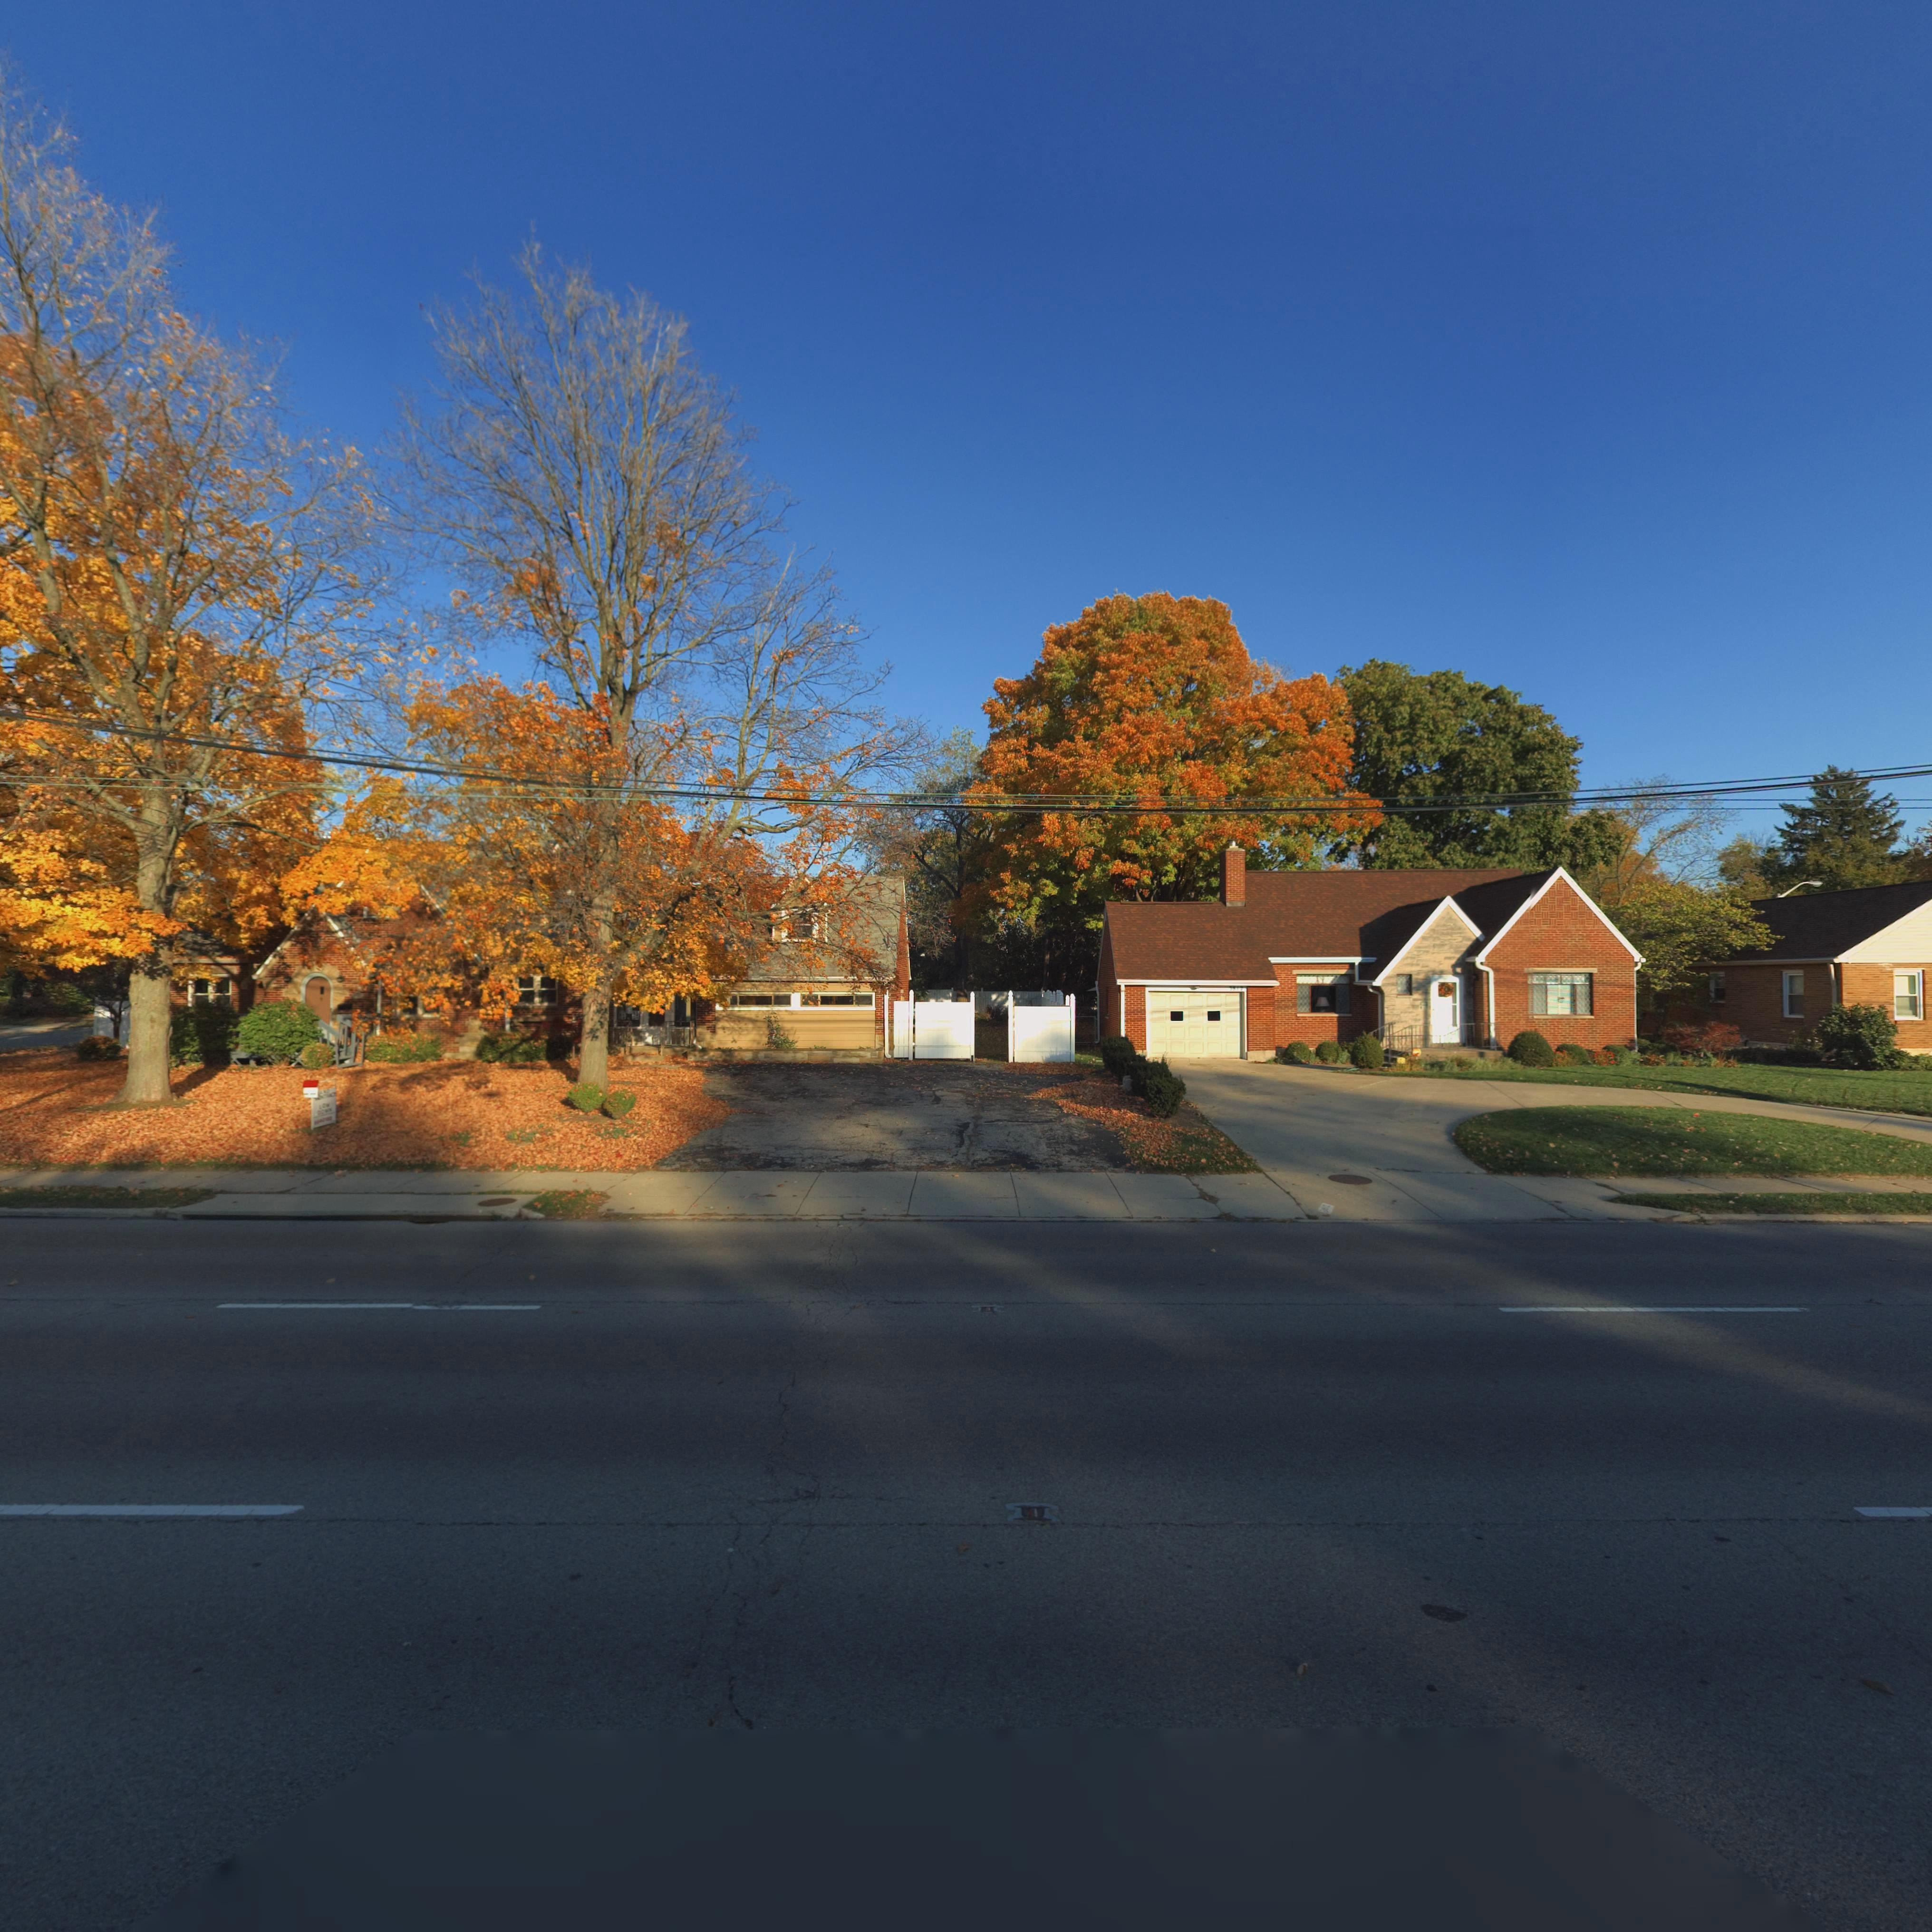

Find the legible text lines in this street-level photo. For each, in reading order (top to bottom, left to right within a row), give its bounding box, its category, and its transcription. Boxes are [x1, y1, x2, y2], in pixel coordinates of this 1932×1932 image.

[1228, 985, 1244, 991] StreetNumber: 3812